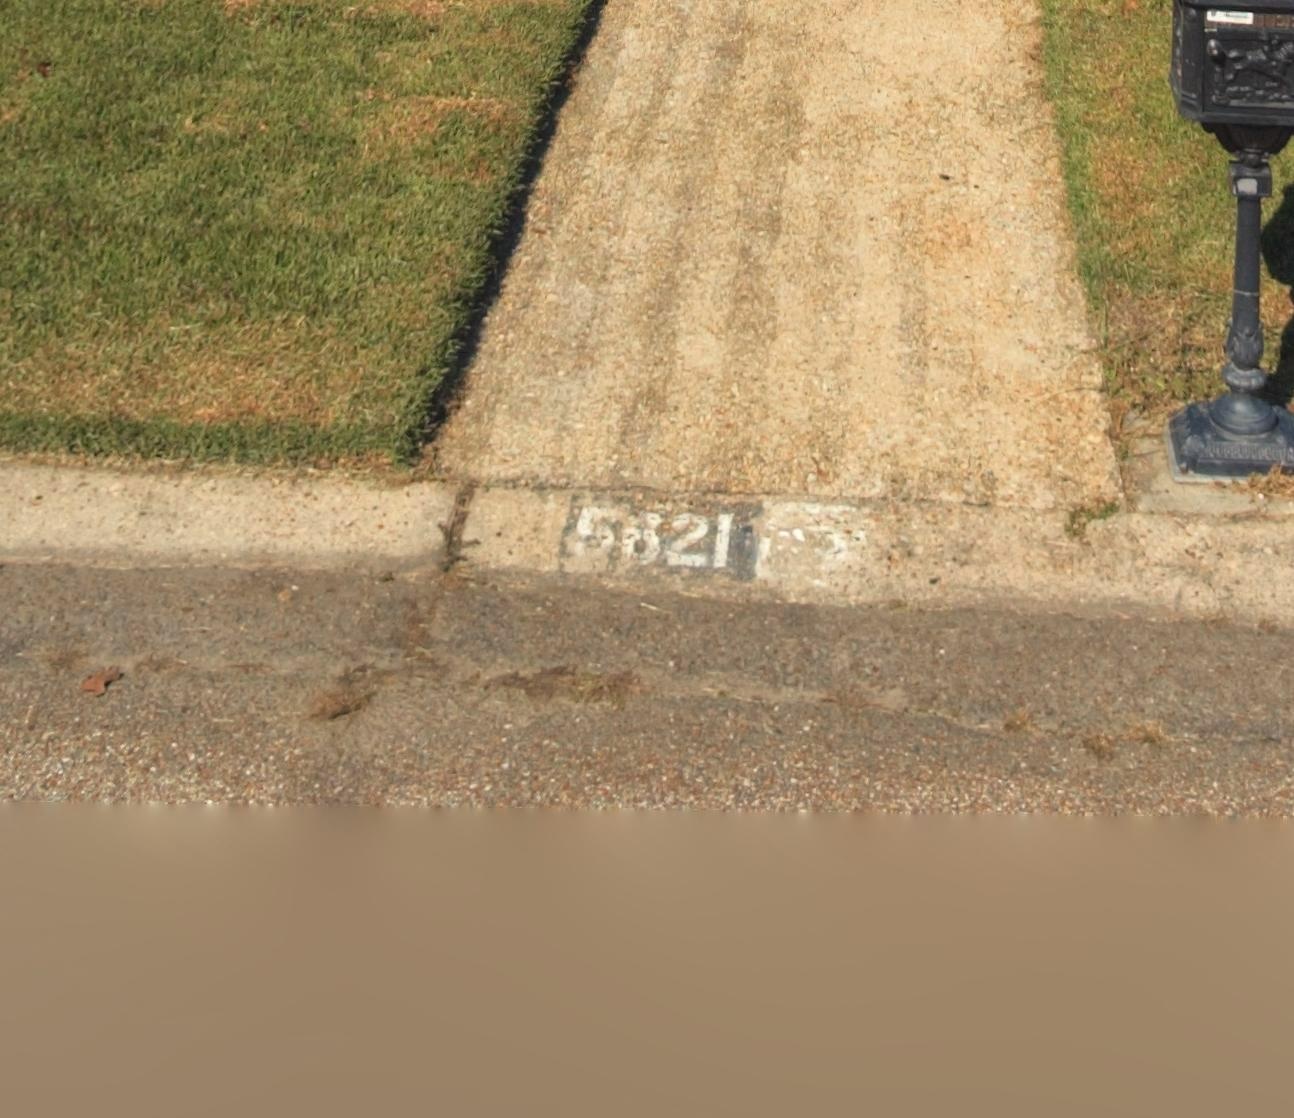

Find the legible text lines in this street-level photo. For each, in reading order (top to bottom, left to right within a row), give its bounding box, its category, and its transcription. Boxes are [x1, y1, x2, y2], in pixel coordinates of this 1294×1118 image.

[565, 499, 739, 574] StreetNumber: 5621